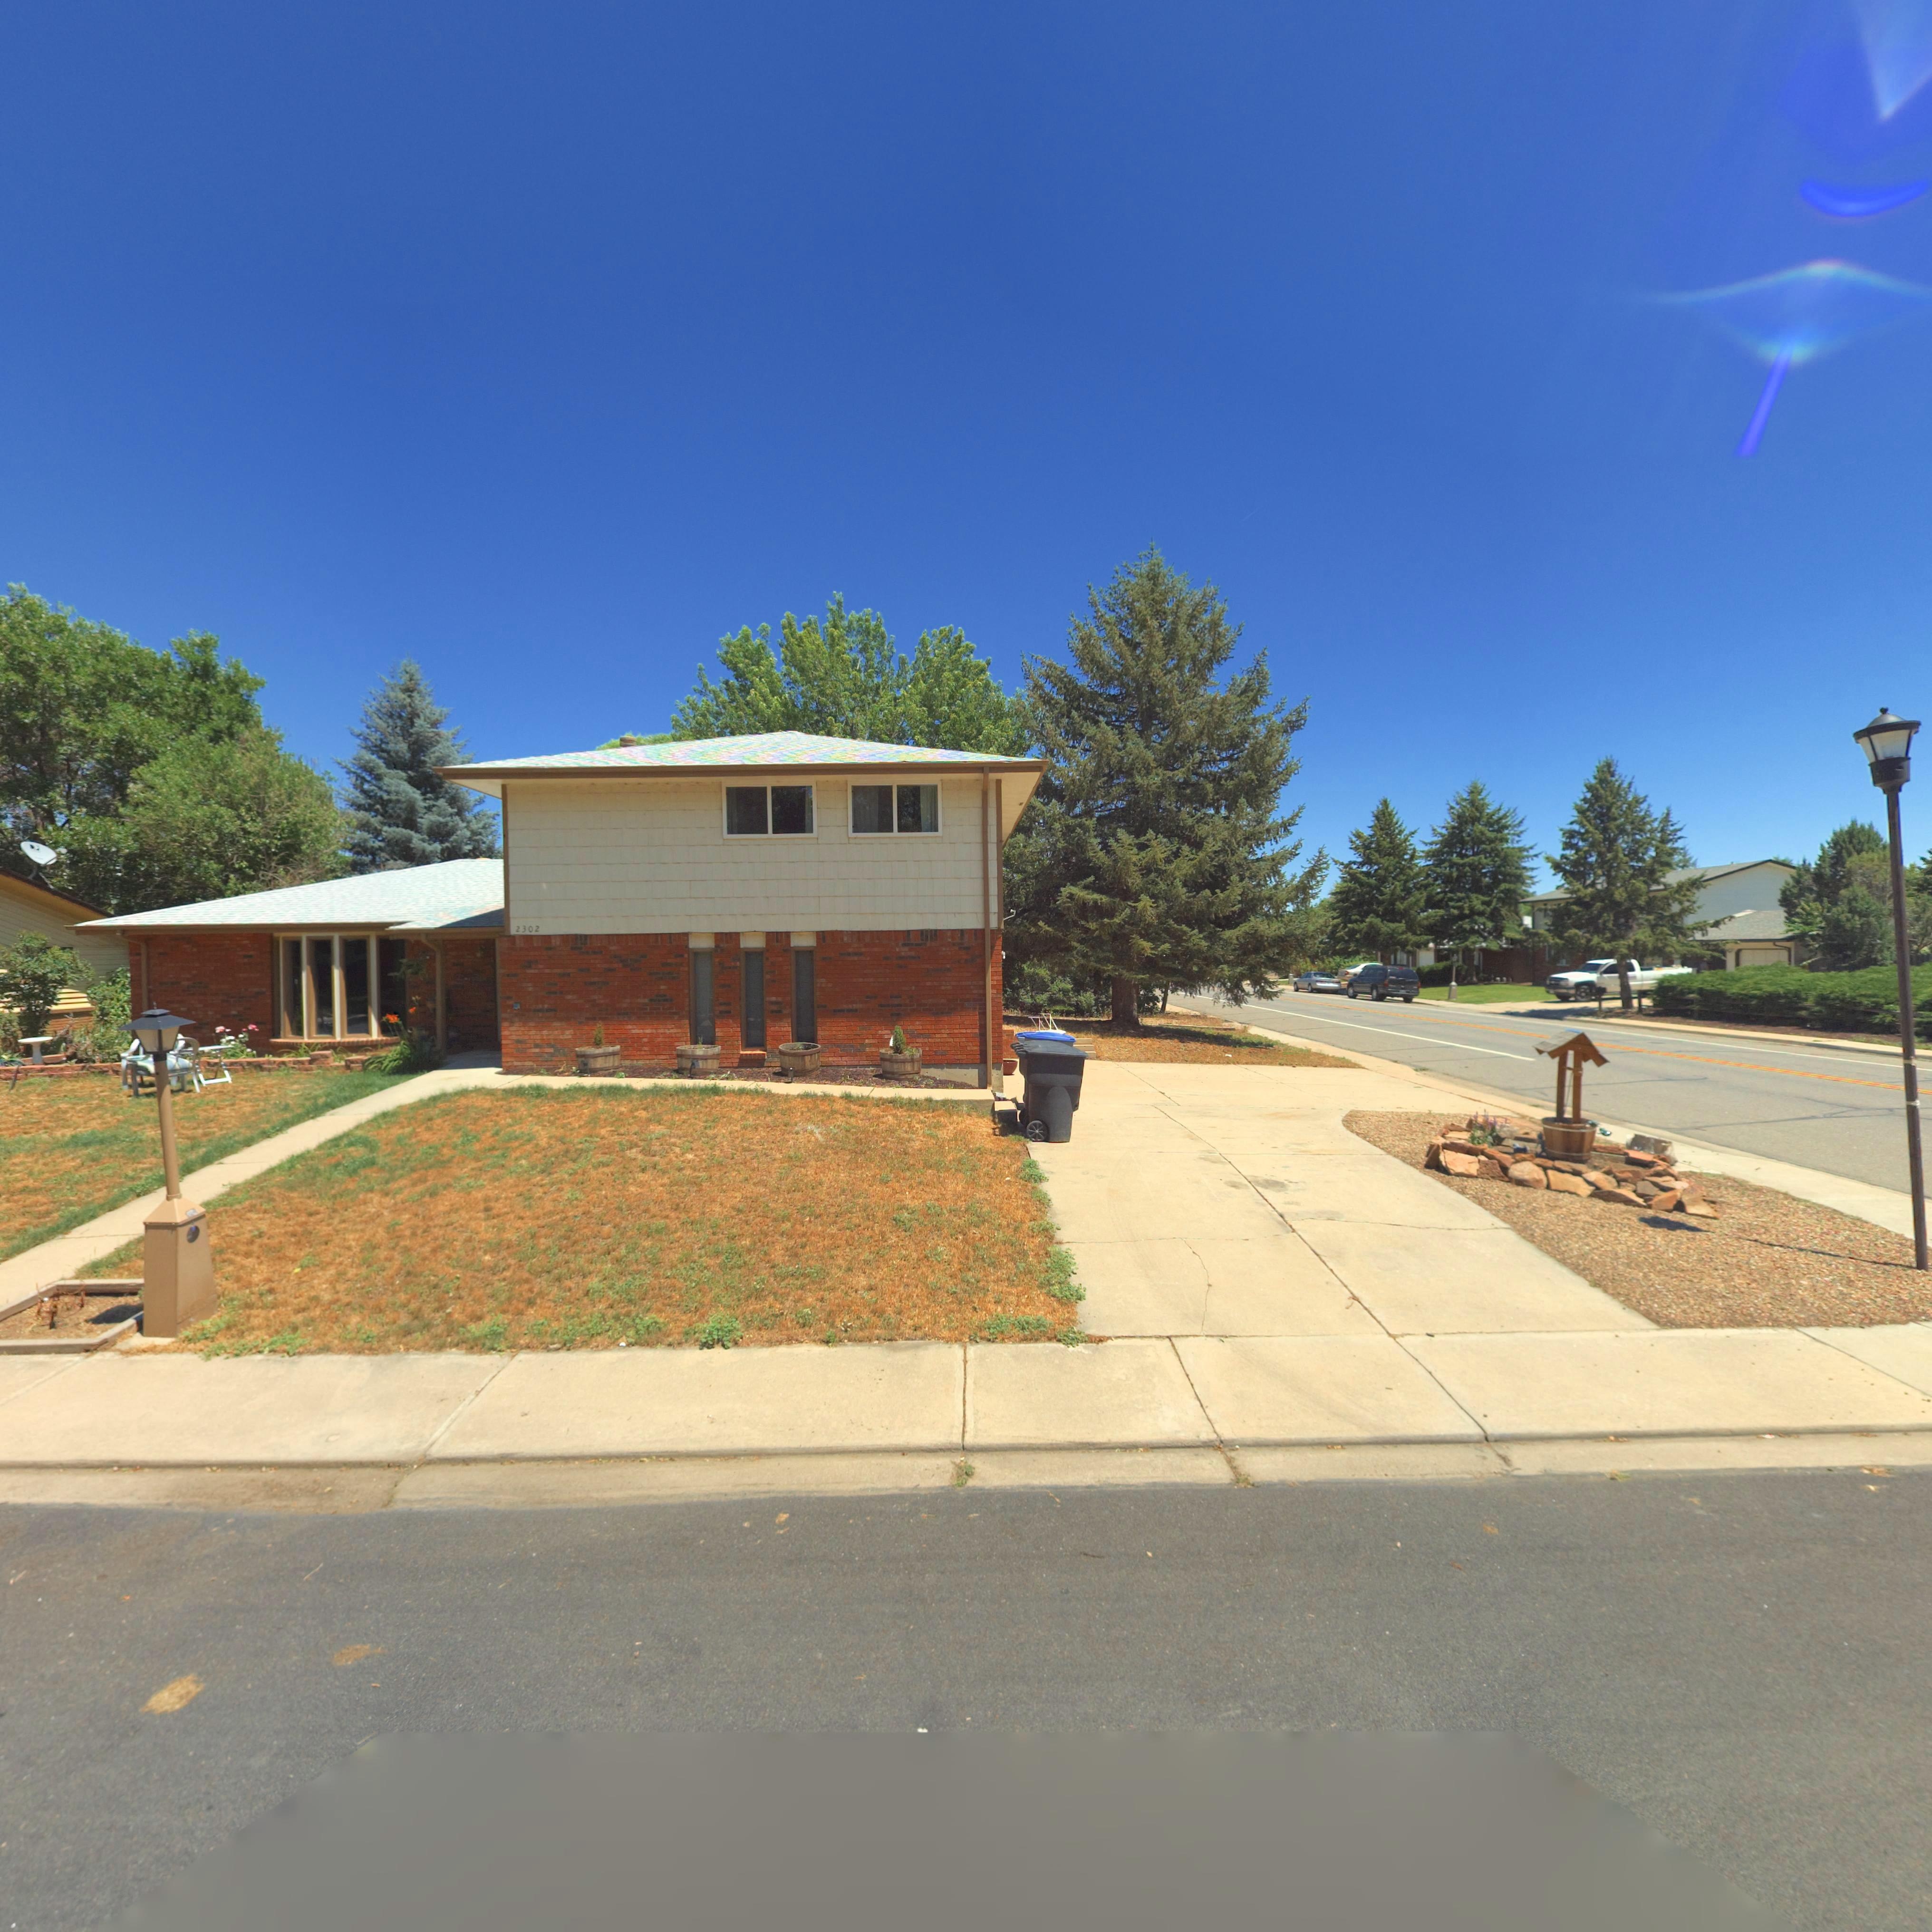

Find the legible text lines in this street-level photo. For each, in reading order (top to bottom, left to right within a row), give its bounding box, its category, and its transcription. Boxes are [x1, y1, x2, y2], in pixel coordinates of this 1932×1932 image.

[515, 925, 540, 932] StreetNumber: 2302